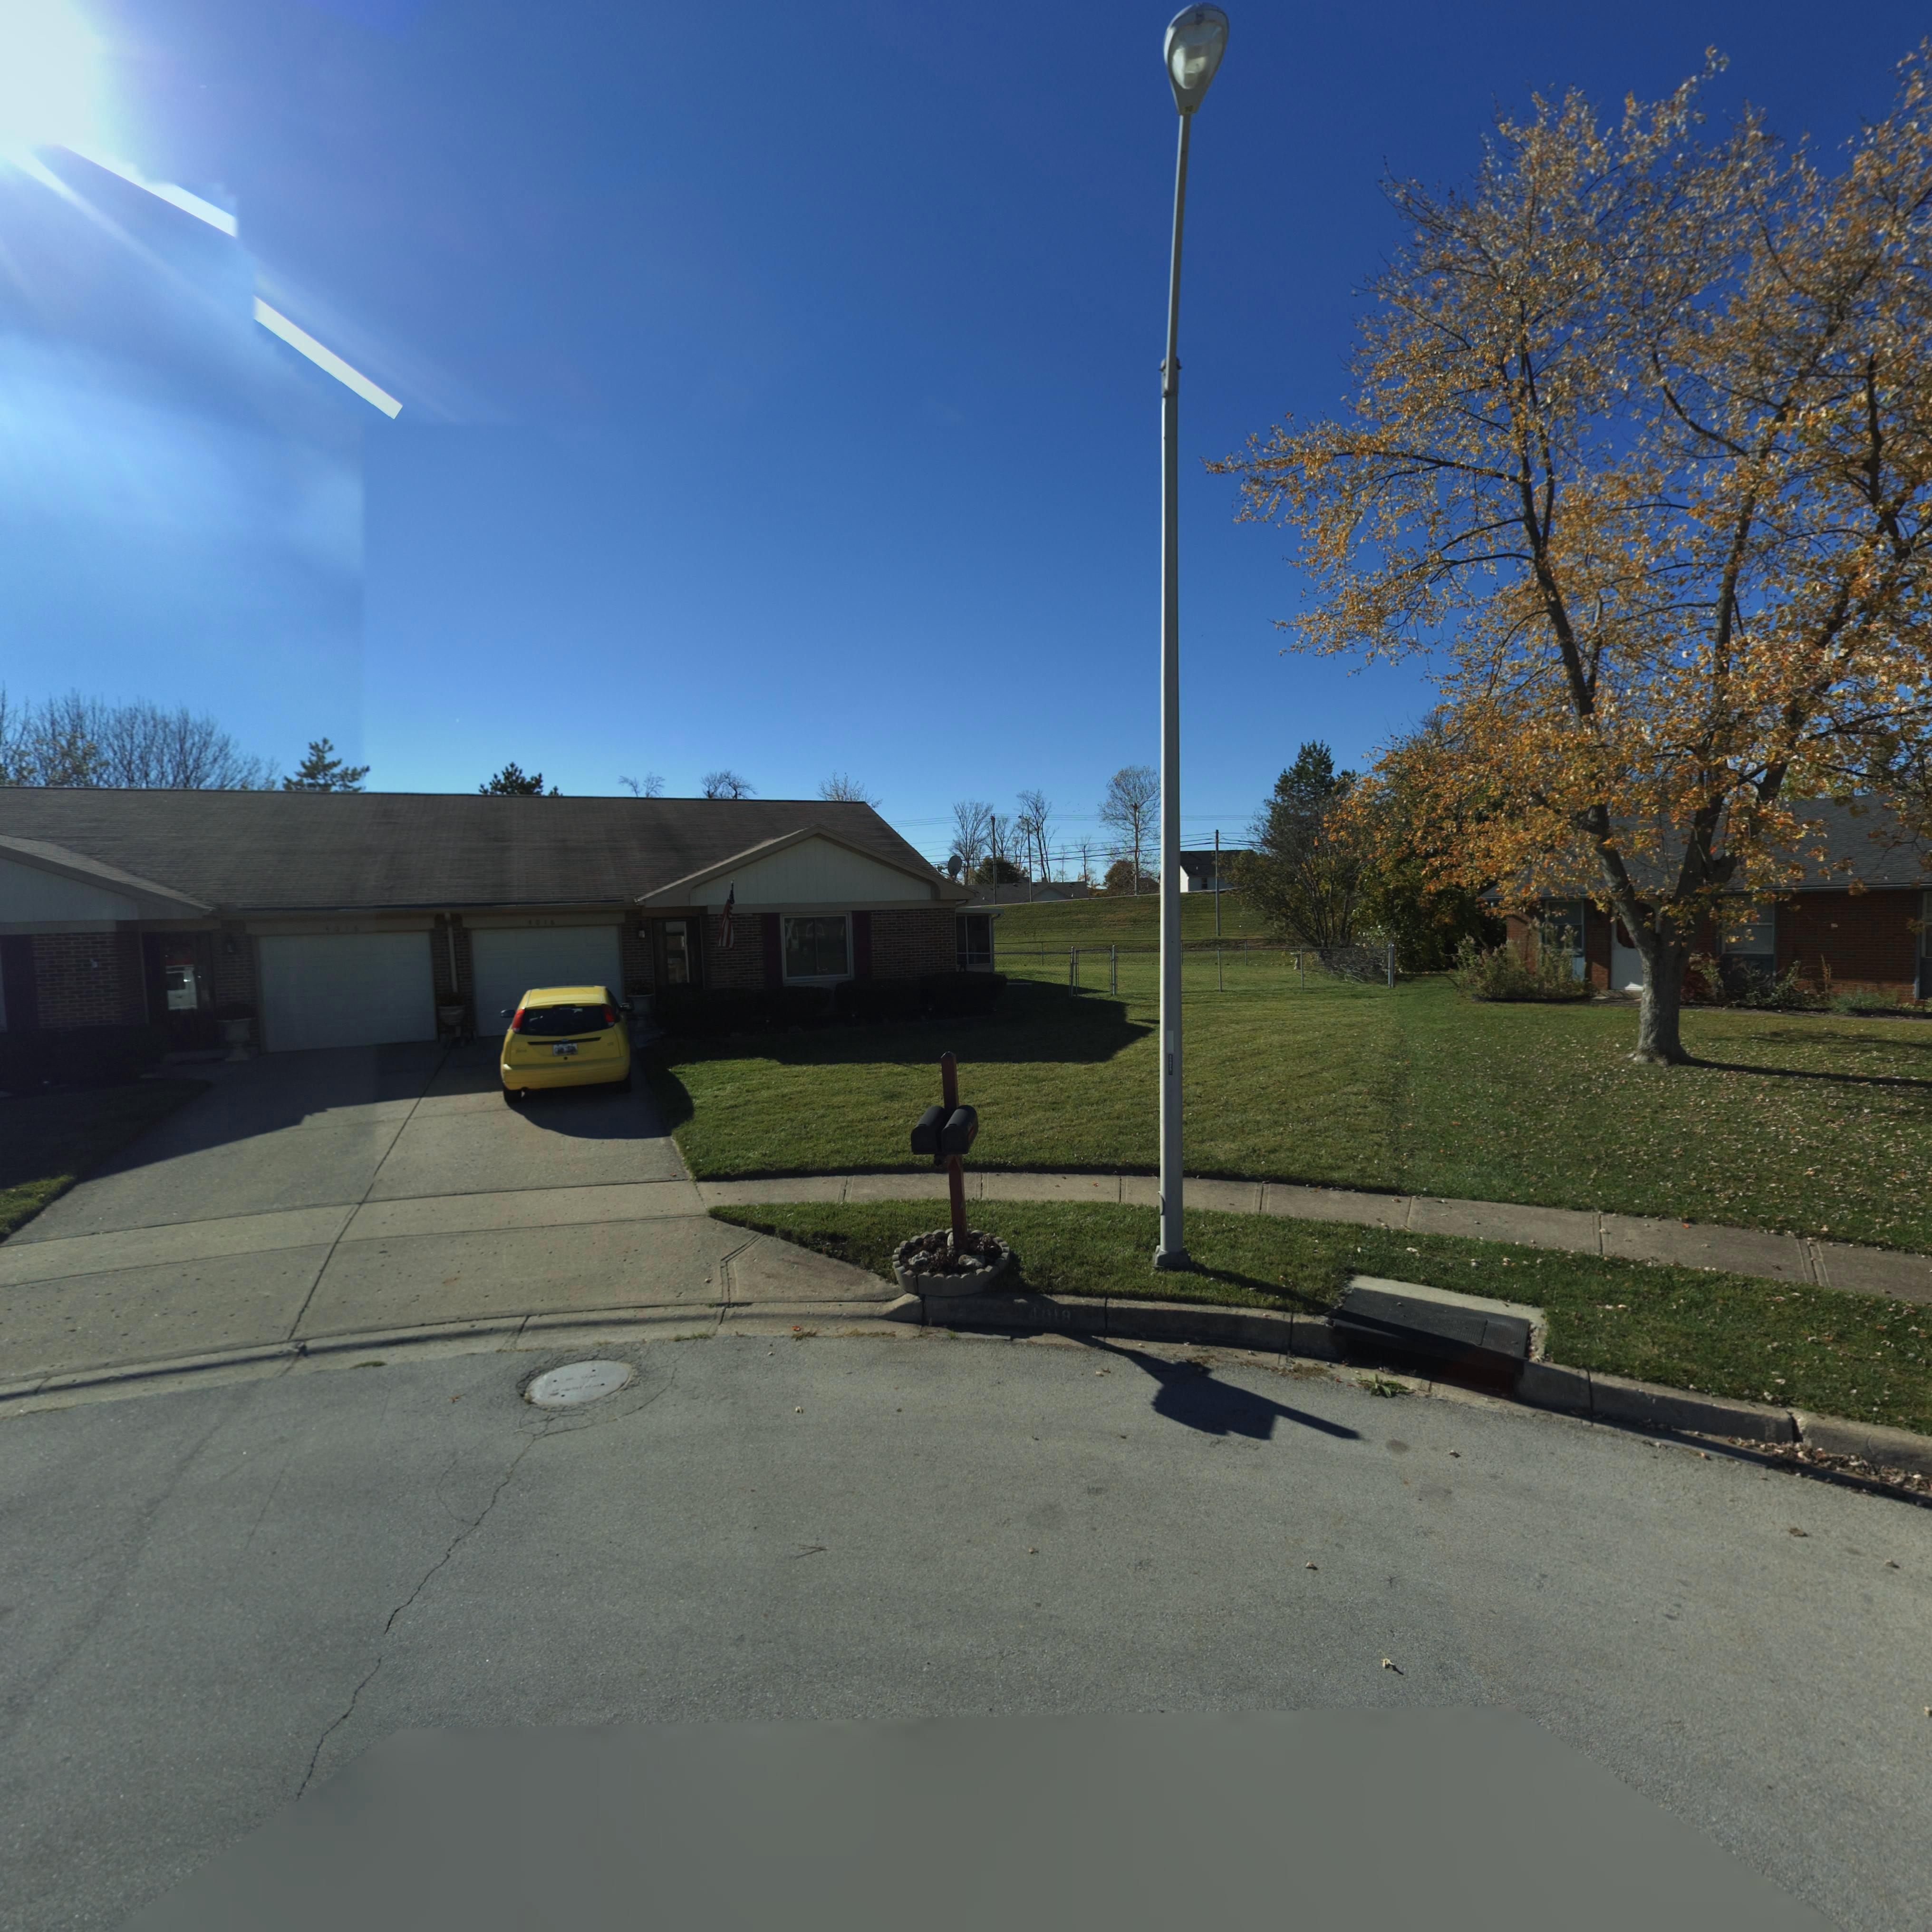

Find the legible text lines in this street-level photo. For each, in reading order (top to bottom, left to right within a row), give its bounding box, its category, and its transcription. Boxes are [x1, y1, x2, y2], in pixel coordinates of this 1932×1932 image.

[526, 918, 555, 926] StreetNumber: 4018
[323, 924, 360, 933] StreetNumber: 4016
[1027, 1306, 1072, 1327] StreetNumber: 4018